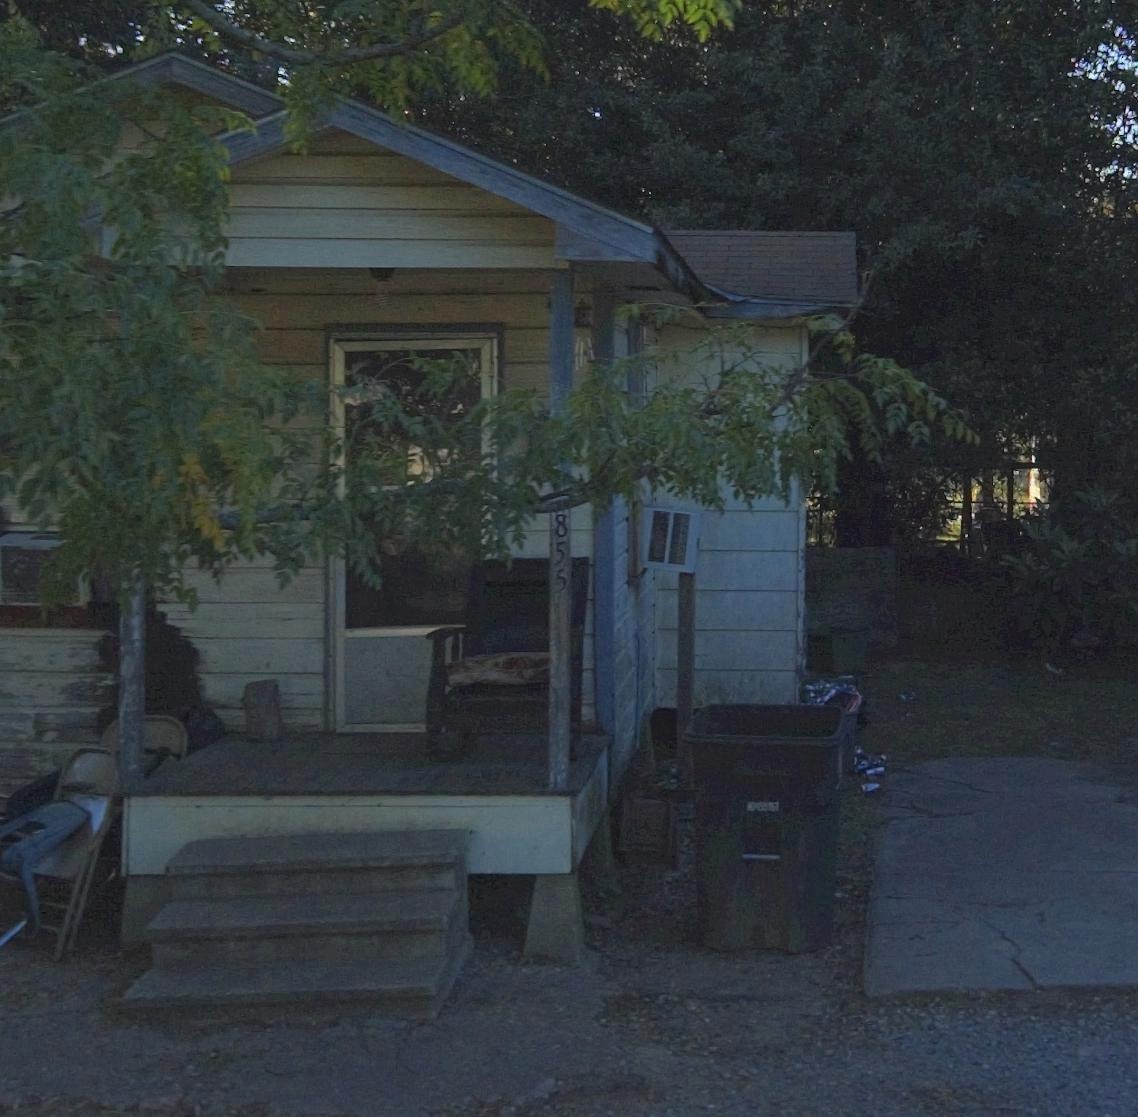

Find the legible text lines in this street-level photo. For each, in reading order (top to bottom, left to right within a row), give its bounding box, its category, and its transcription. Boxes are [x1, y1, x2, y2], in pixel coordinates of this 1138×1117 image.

[550, 511, 571, 595] StreetNumber: 855